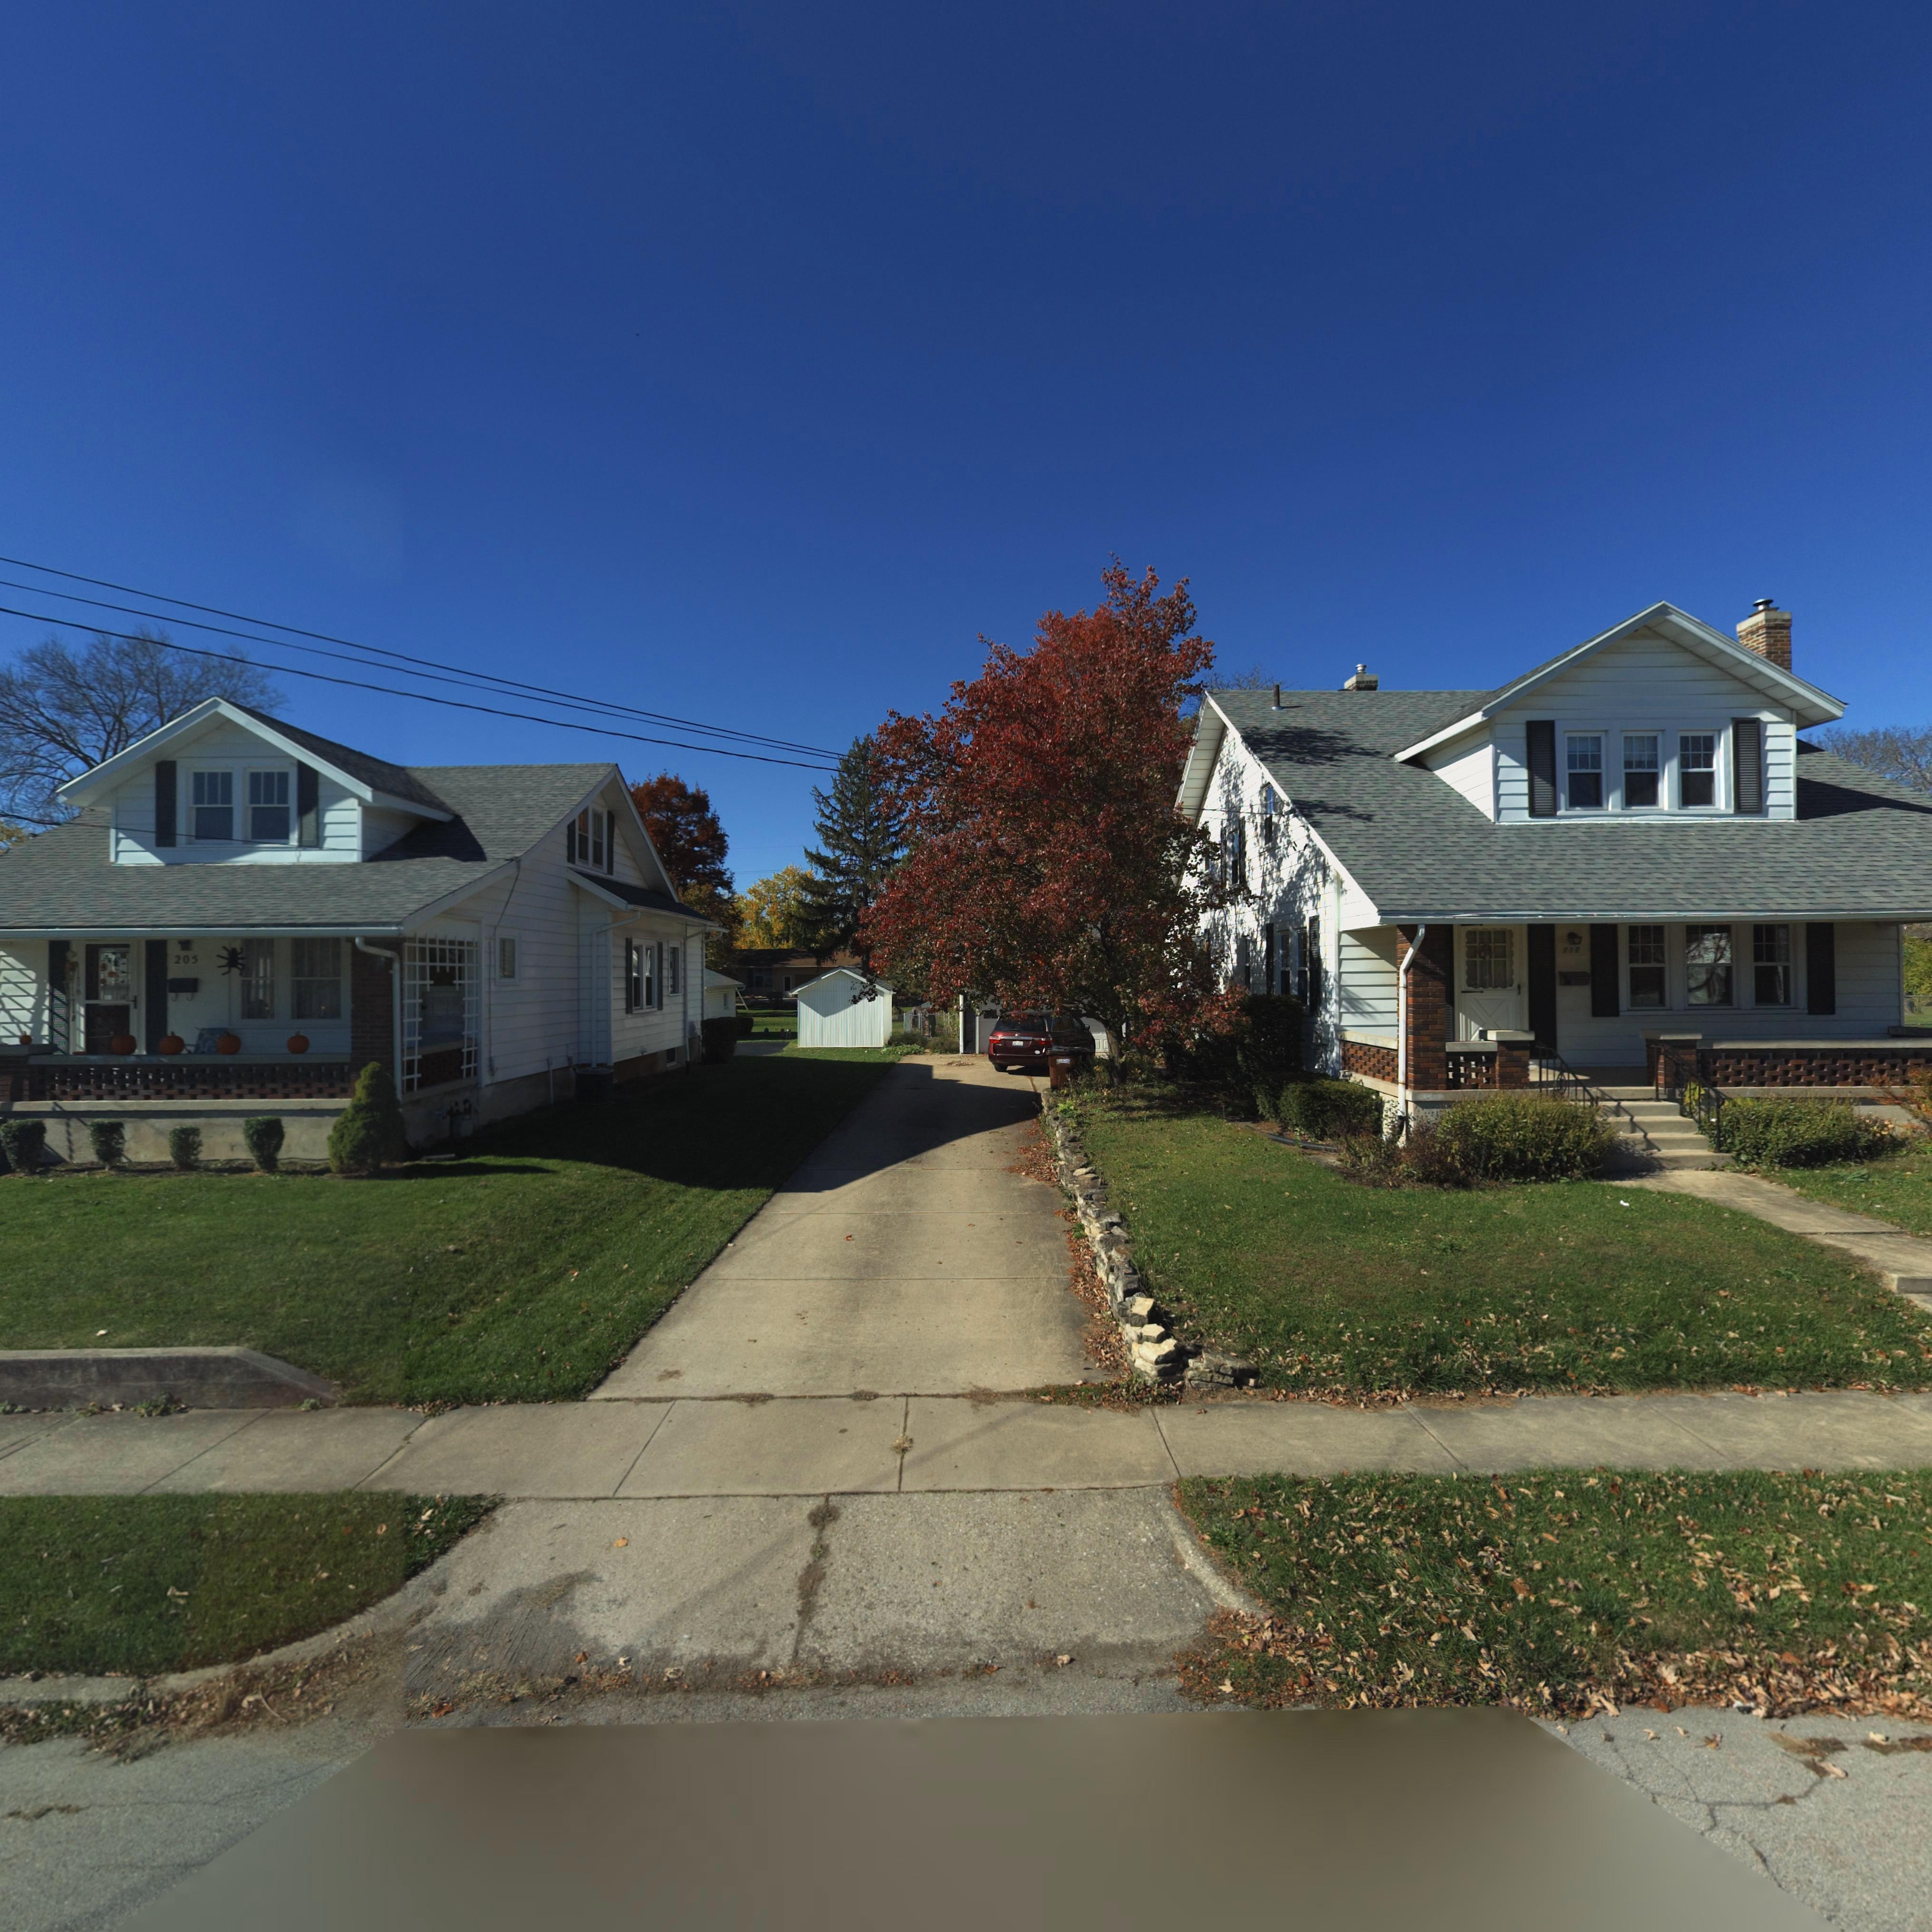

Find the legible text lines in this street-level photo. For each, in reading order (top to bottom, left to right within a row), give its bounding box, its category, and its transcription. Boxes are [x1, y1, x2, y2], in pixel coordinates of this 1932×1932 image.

[1563, 947, 1581, 953] StreetNumber: 207
[174, 955, 198, 964] StreetNumber: 205